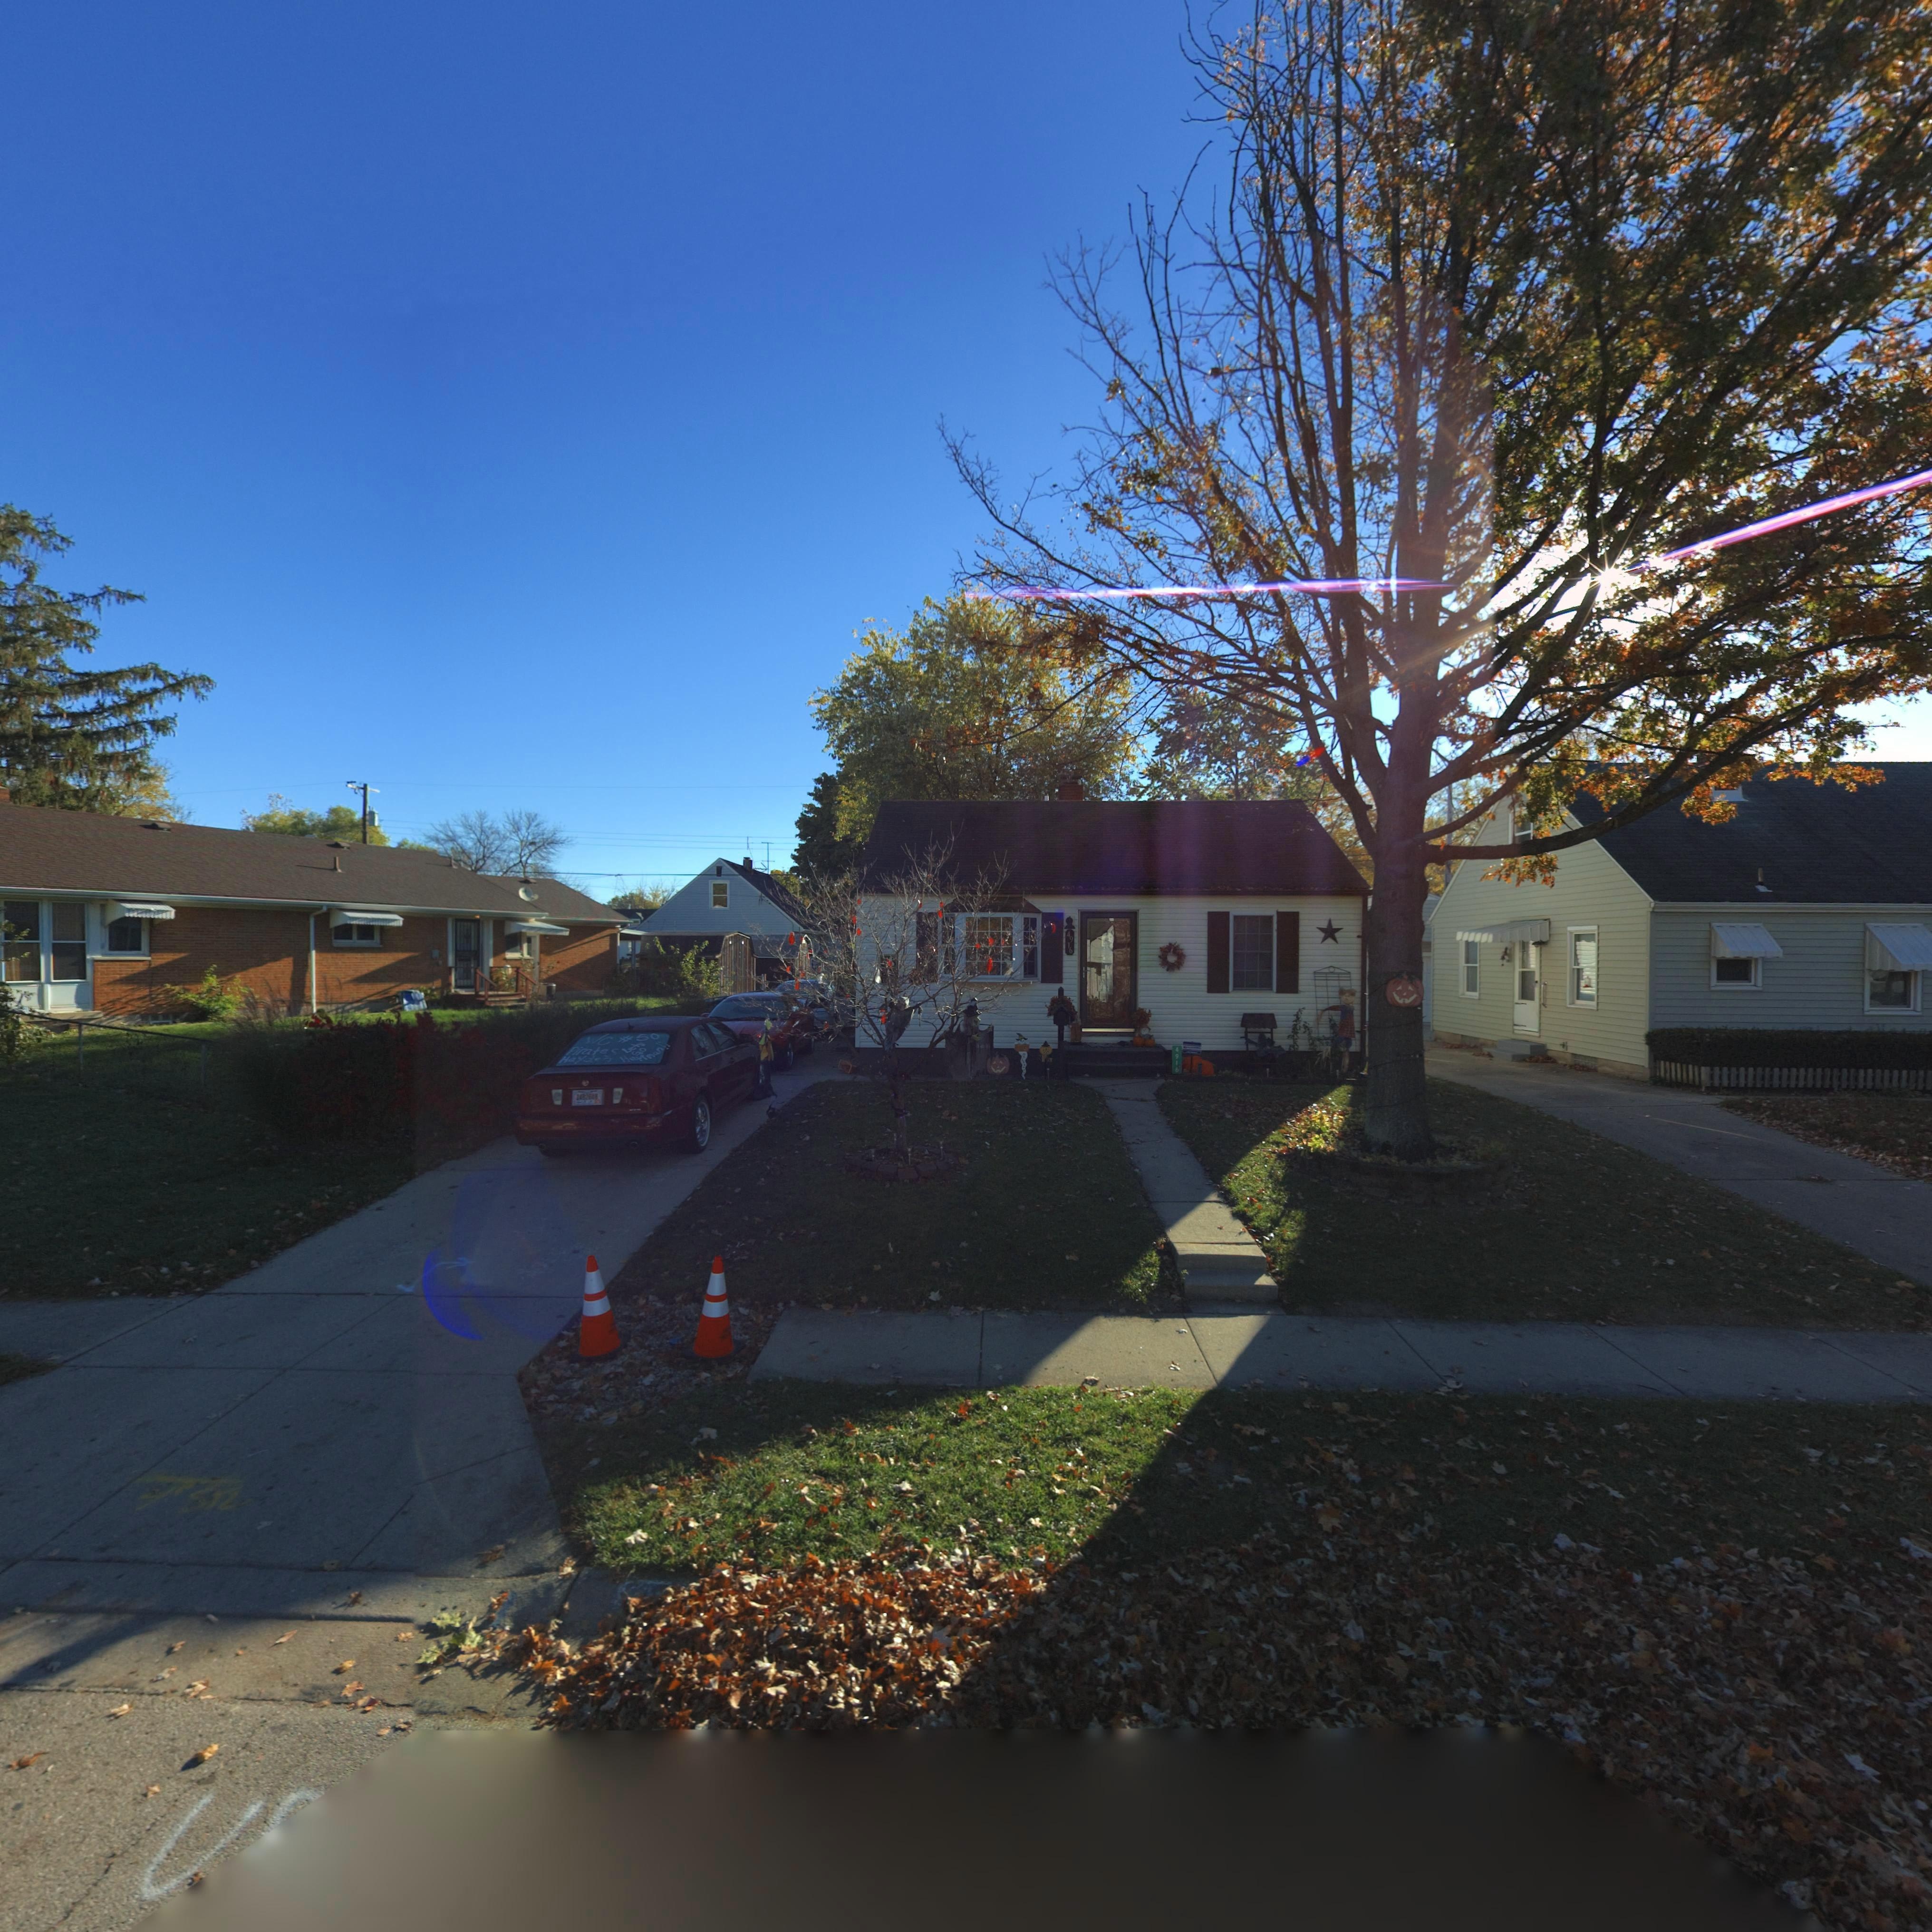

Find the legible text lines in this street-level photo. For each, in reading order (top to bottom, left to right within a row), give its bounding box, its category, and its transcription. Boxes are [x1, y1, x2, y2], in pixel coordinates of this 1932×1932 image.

[1065, 930, 1074, 955] StreetNumber: 4916
[1174, 1046, 1180, 1073] StreetNumber: 4916